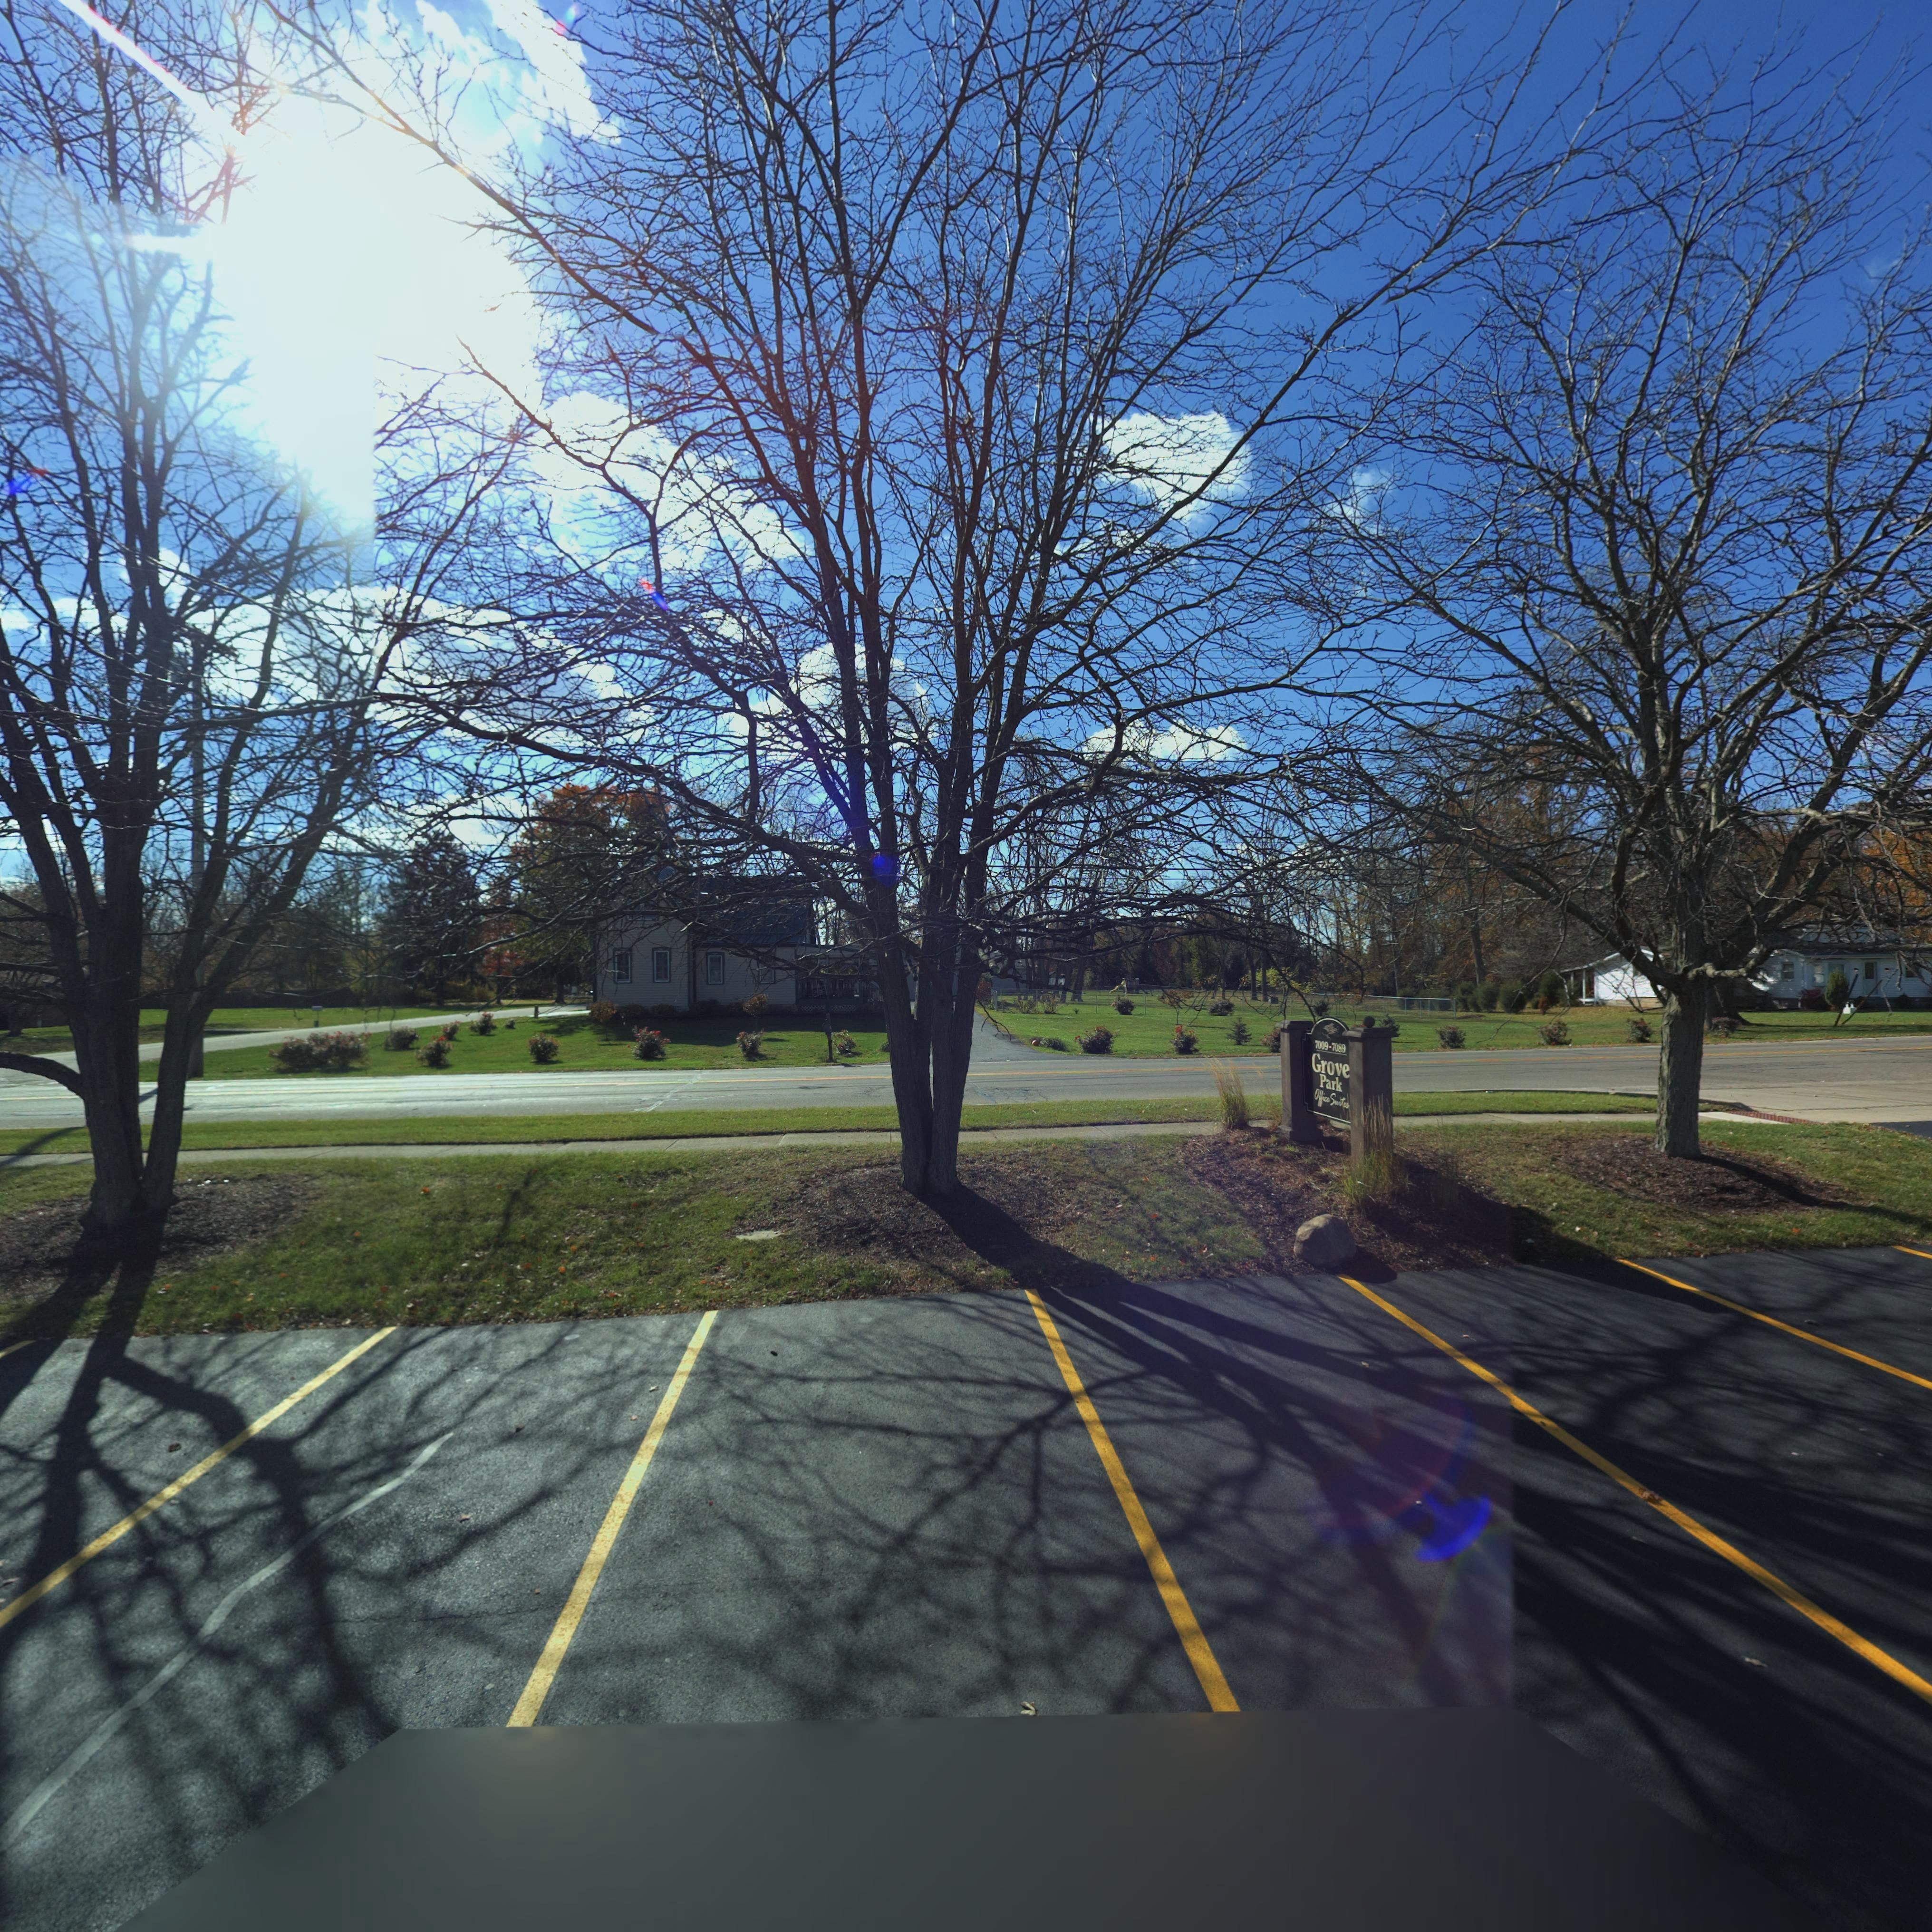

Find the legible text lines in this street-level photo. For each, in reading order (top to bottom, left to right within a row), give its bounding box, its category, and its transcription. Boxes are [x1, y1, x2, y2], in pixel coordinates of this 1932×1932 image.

[1314, 1039, 1330, 1052] StreetNumber: 7009
[1330, 1041, 1347, 1054] StreetNumber: 7089